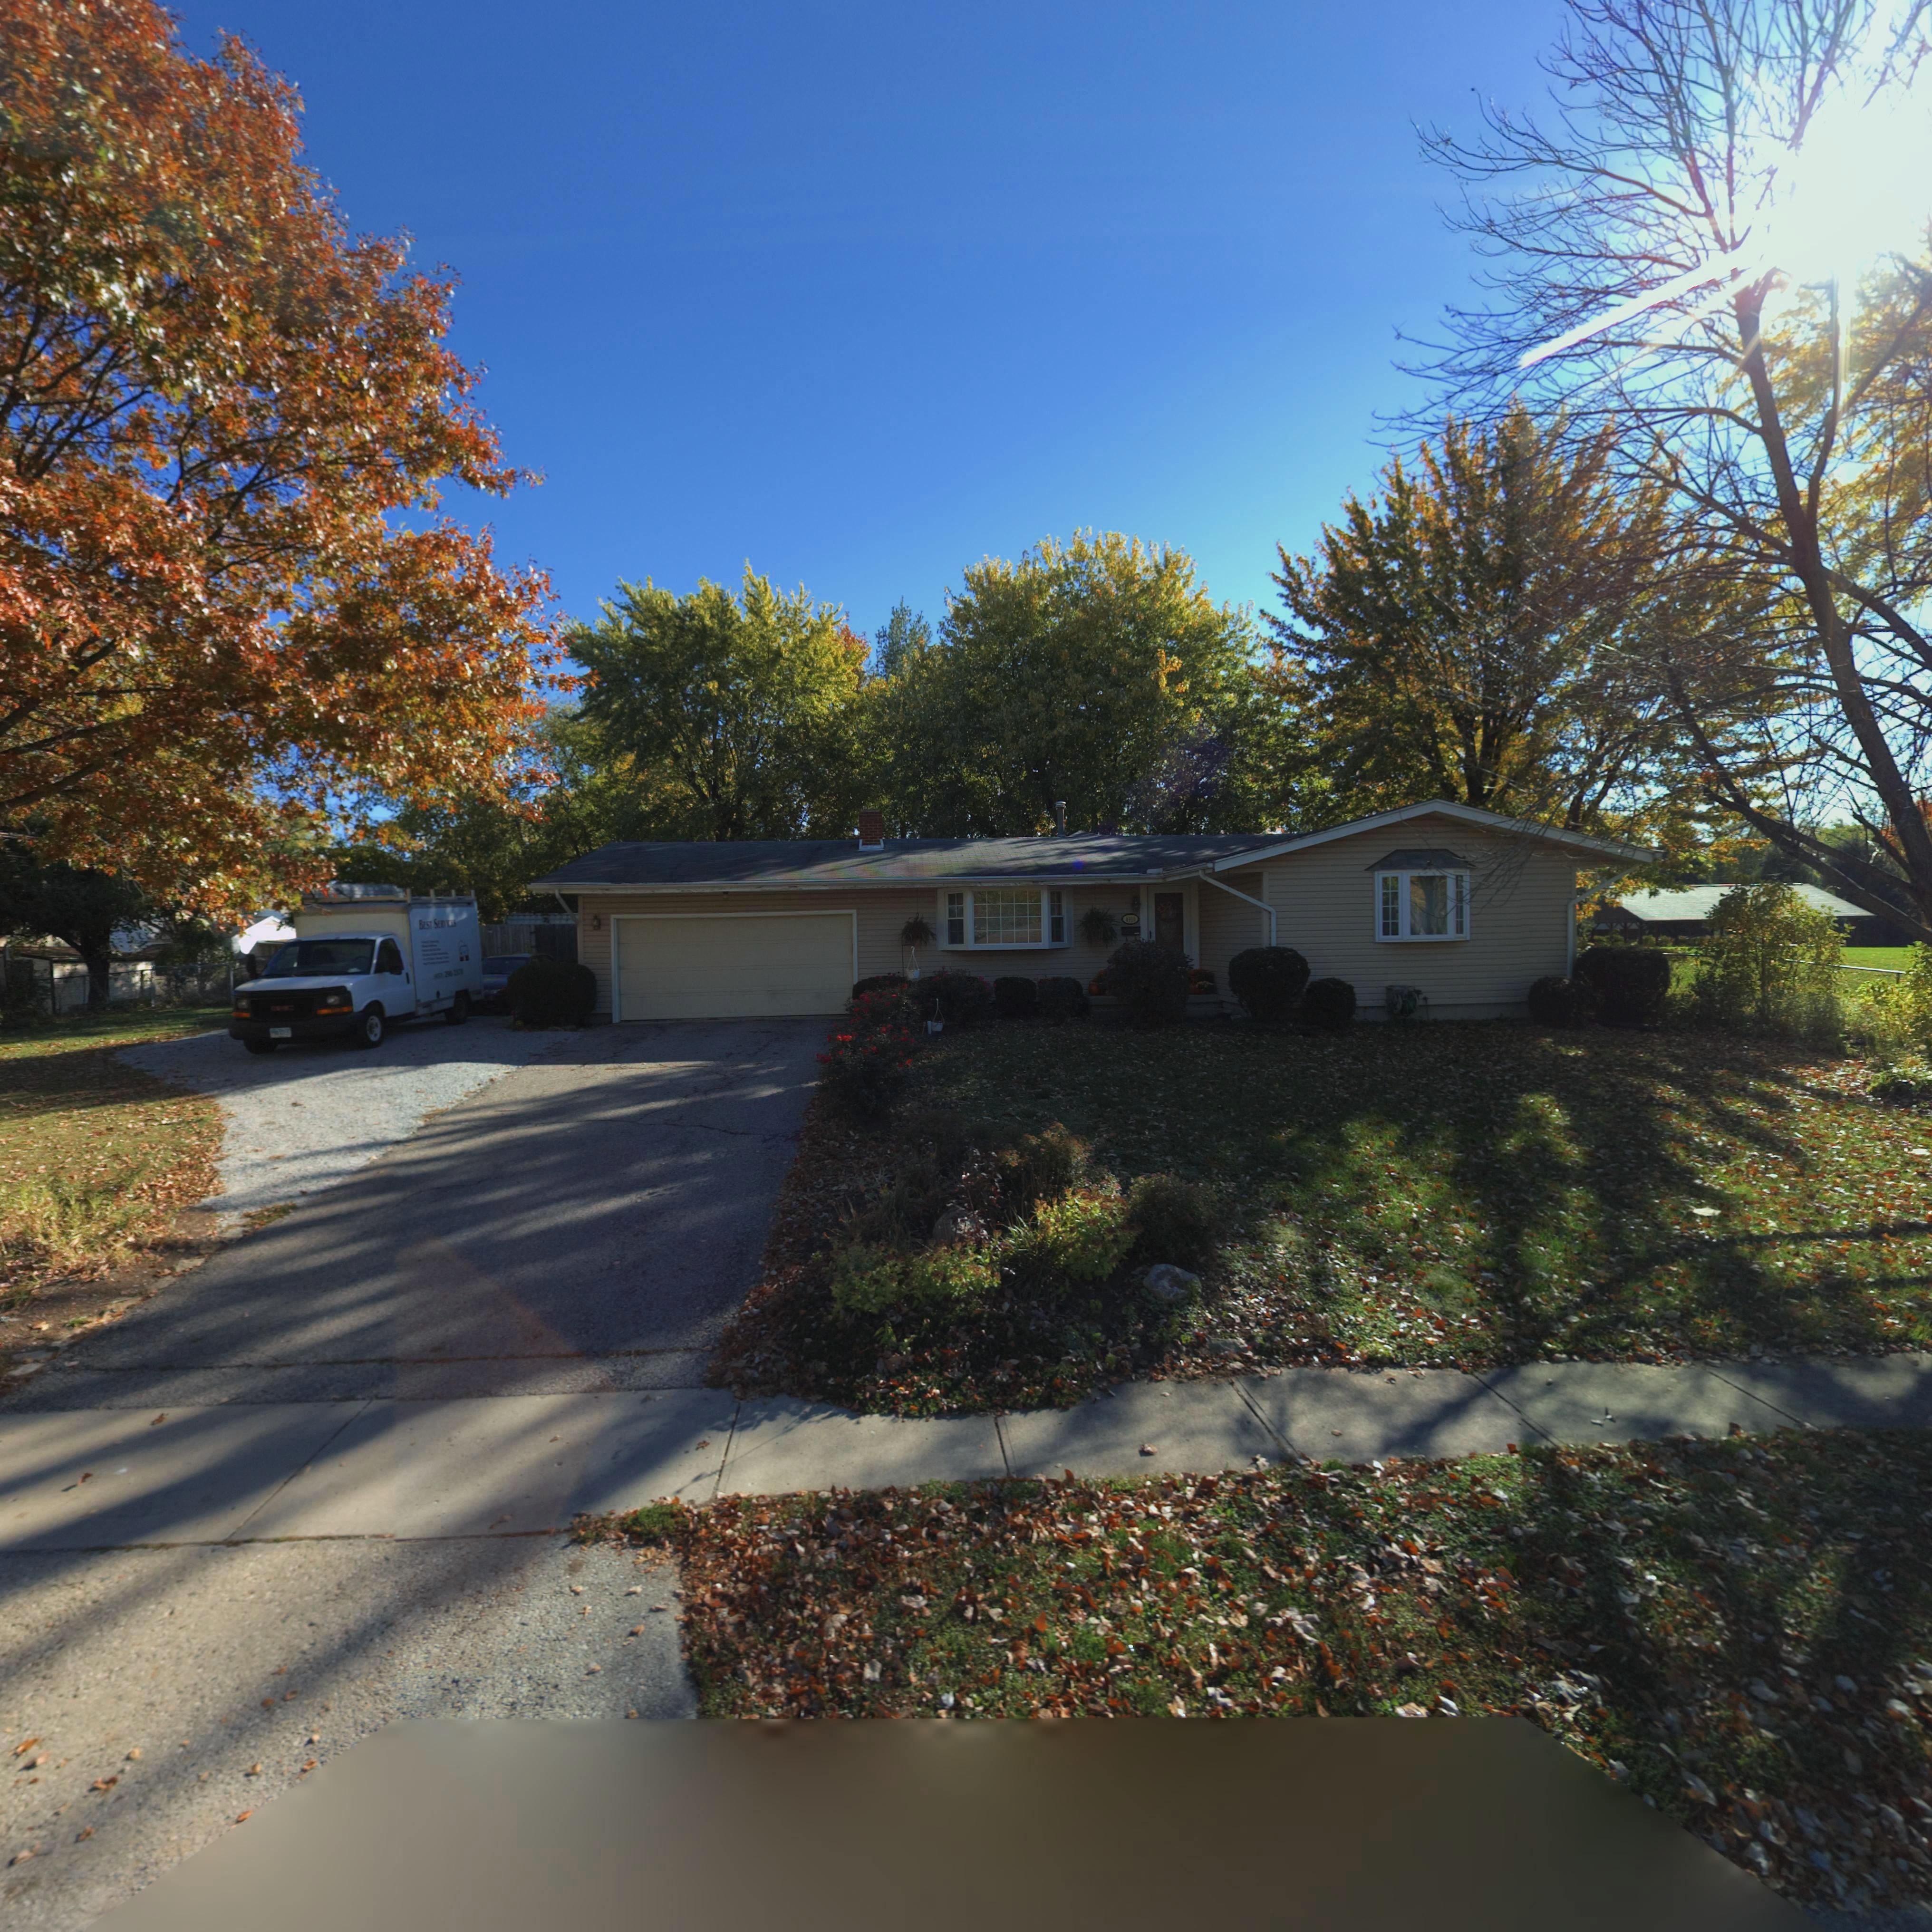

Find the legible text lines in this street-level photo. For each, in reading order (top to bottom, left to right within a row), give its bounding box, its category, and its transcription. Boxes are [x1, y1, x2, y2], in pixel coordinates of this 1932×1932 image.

[1124, 915, 1137, 923] StreetNumber: 4910